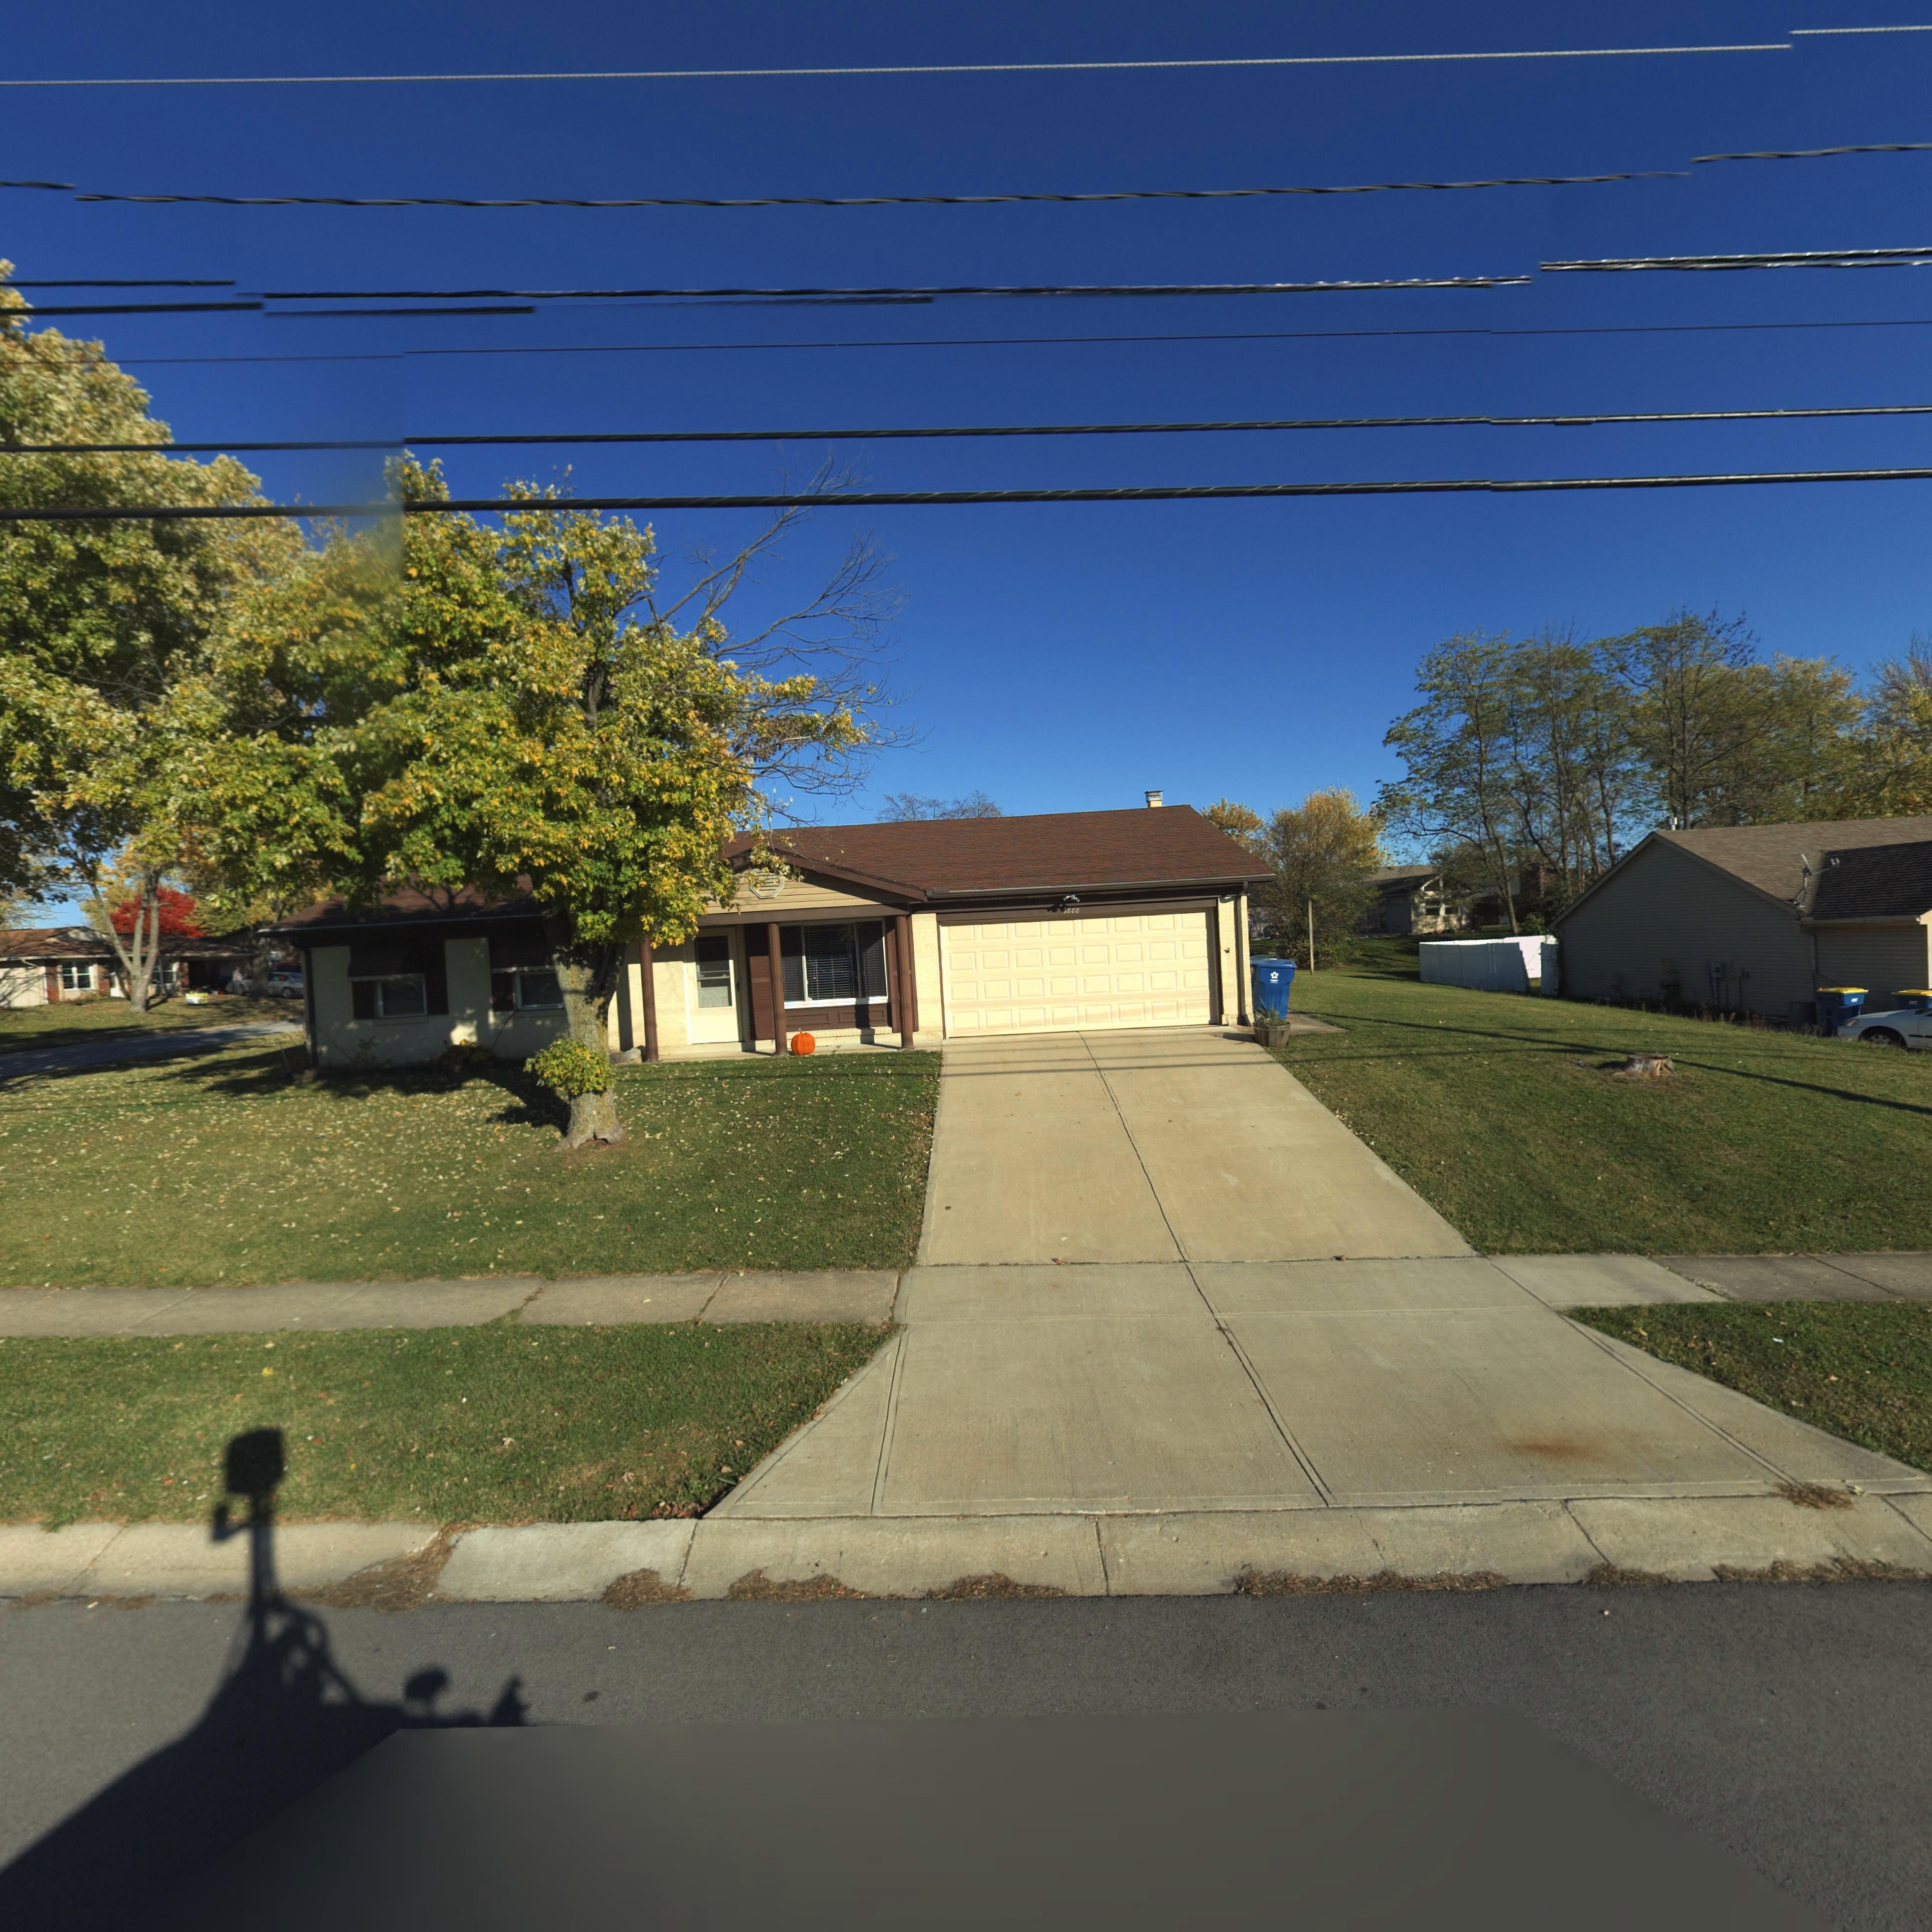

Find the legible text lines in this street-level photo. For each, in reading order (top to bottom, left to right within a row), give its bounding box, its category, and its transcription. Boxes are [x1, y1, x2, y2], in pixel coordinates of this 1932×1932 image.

[1062, 907, 1082, 915] StreetNumber: 6888